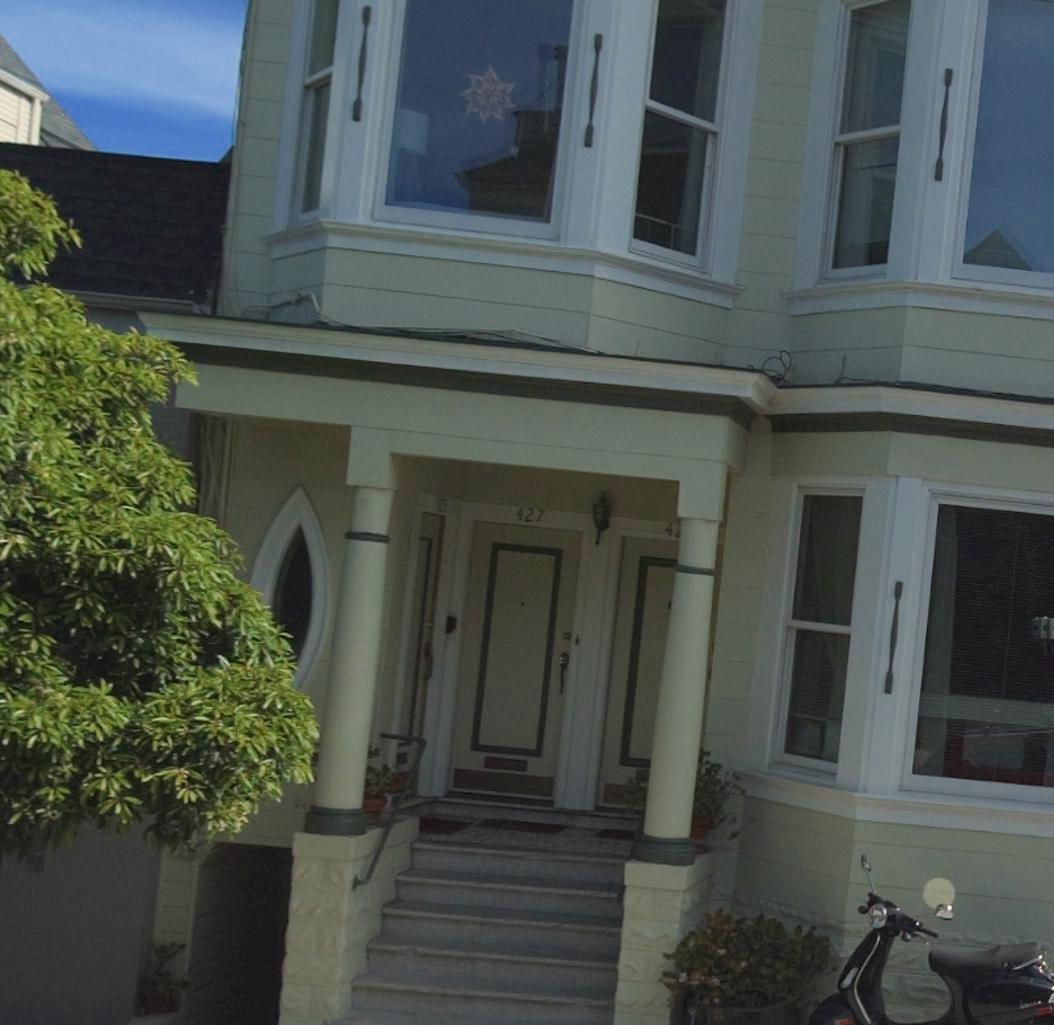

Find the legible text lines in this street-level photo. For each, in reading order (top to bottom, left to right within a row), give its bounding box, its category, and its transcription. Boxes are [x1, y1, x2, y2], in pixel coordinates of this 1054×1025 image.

[513, 503, 548, 525] StreetNumber: 427